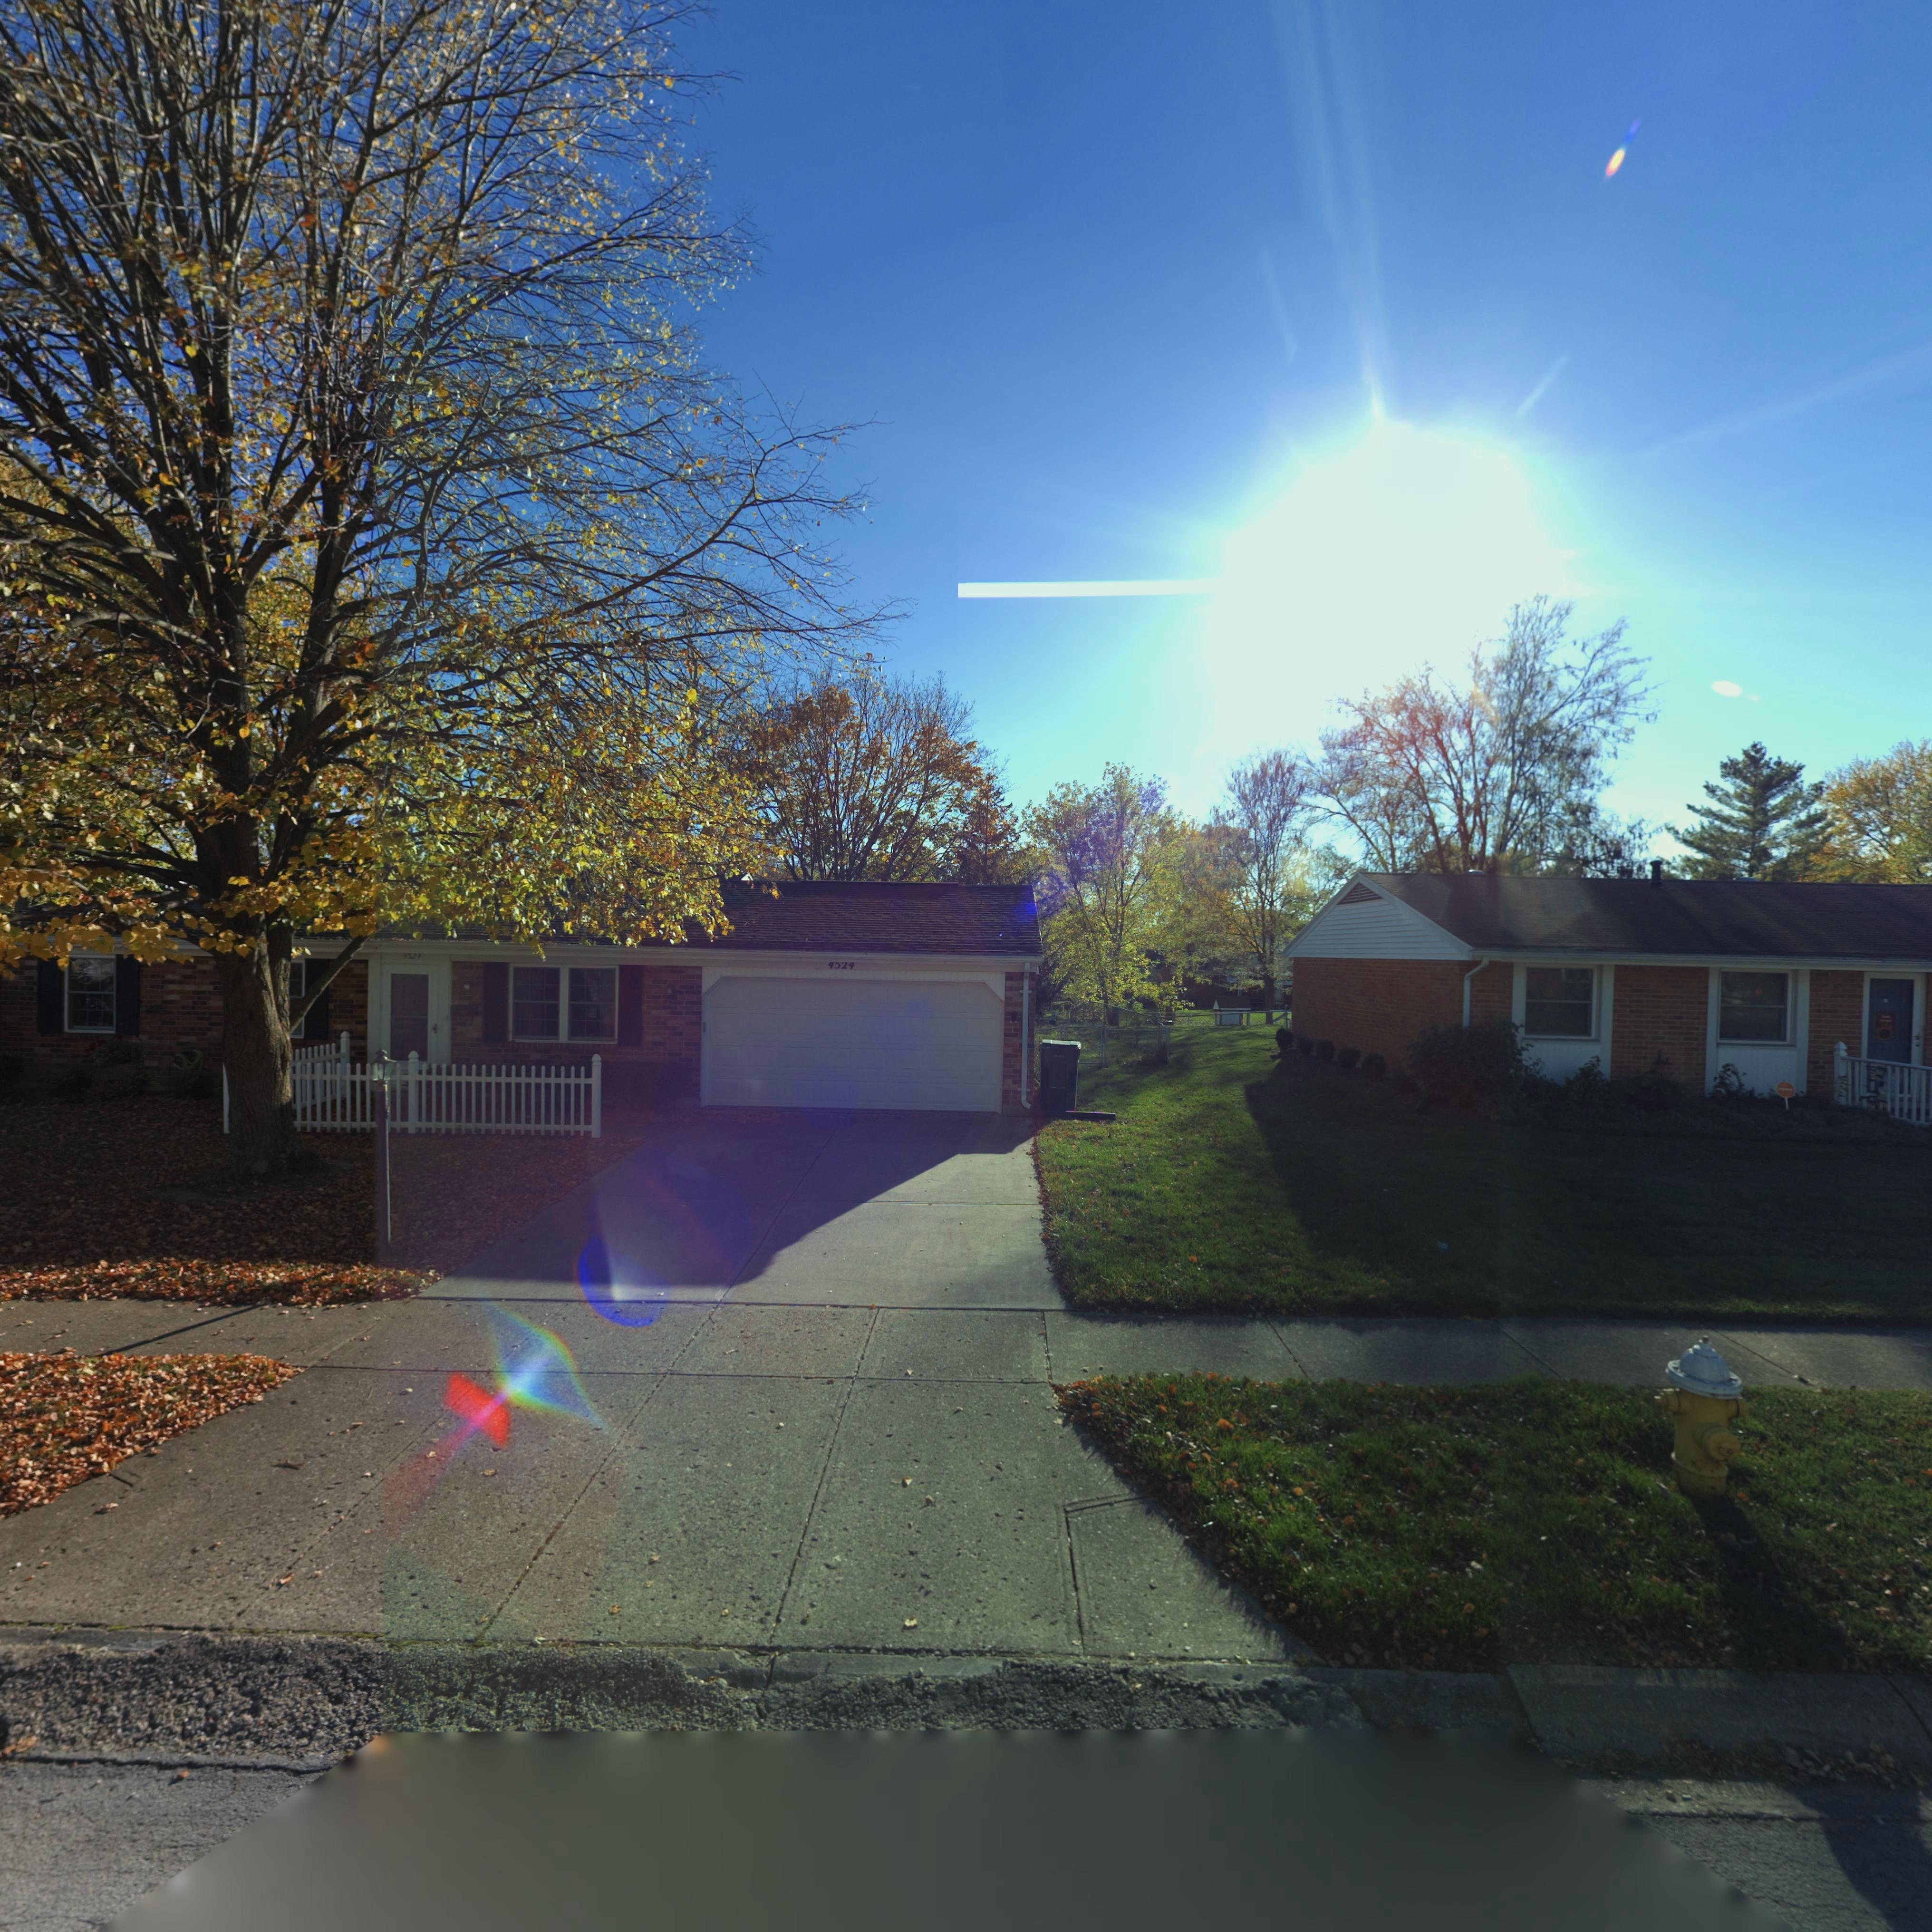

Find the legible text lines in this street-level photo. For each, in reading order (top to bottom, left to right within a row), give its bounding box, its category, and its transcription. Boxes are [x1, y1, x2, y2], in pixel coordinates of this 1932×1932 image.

[402, 953, 421, 959] StreetNumber: 4524
[828, 961, 855, 969] StreetNumber: 4524